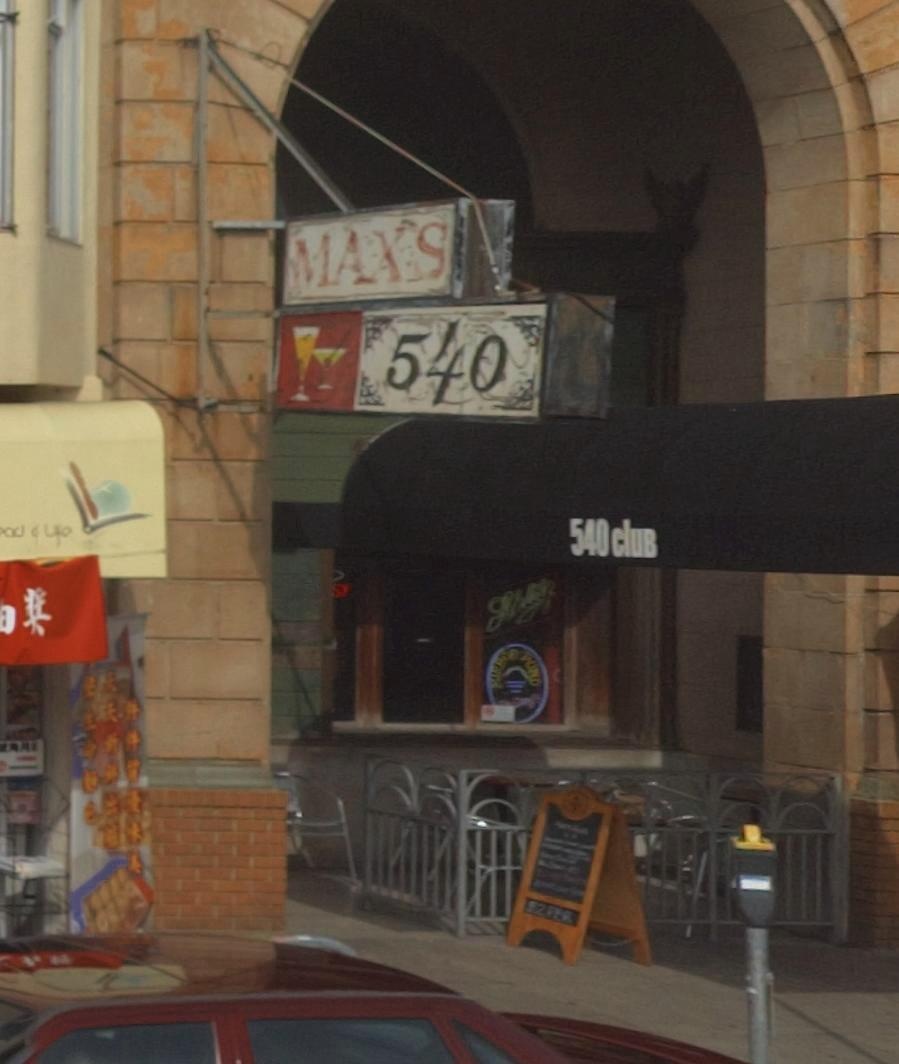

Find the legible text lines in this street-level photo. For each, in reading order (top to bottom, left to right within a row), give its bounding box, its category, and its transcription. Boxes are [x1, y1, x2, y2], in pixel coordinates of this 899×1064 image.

[288, 219, 450, 290] BusinessName: MAXS
[385, 316, 509, 408] StreetNumber: 540
[569, 517, 610, 558] BusinessName: 540
[611, 517, 659, 559] BusinessName: CluB